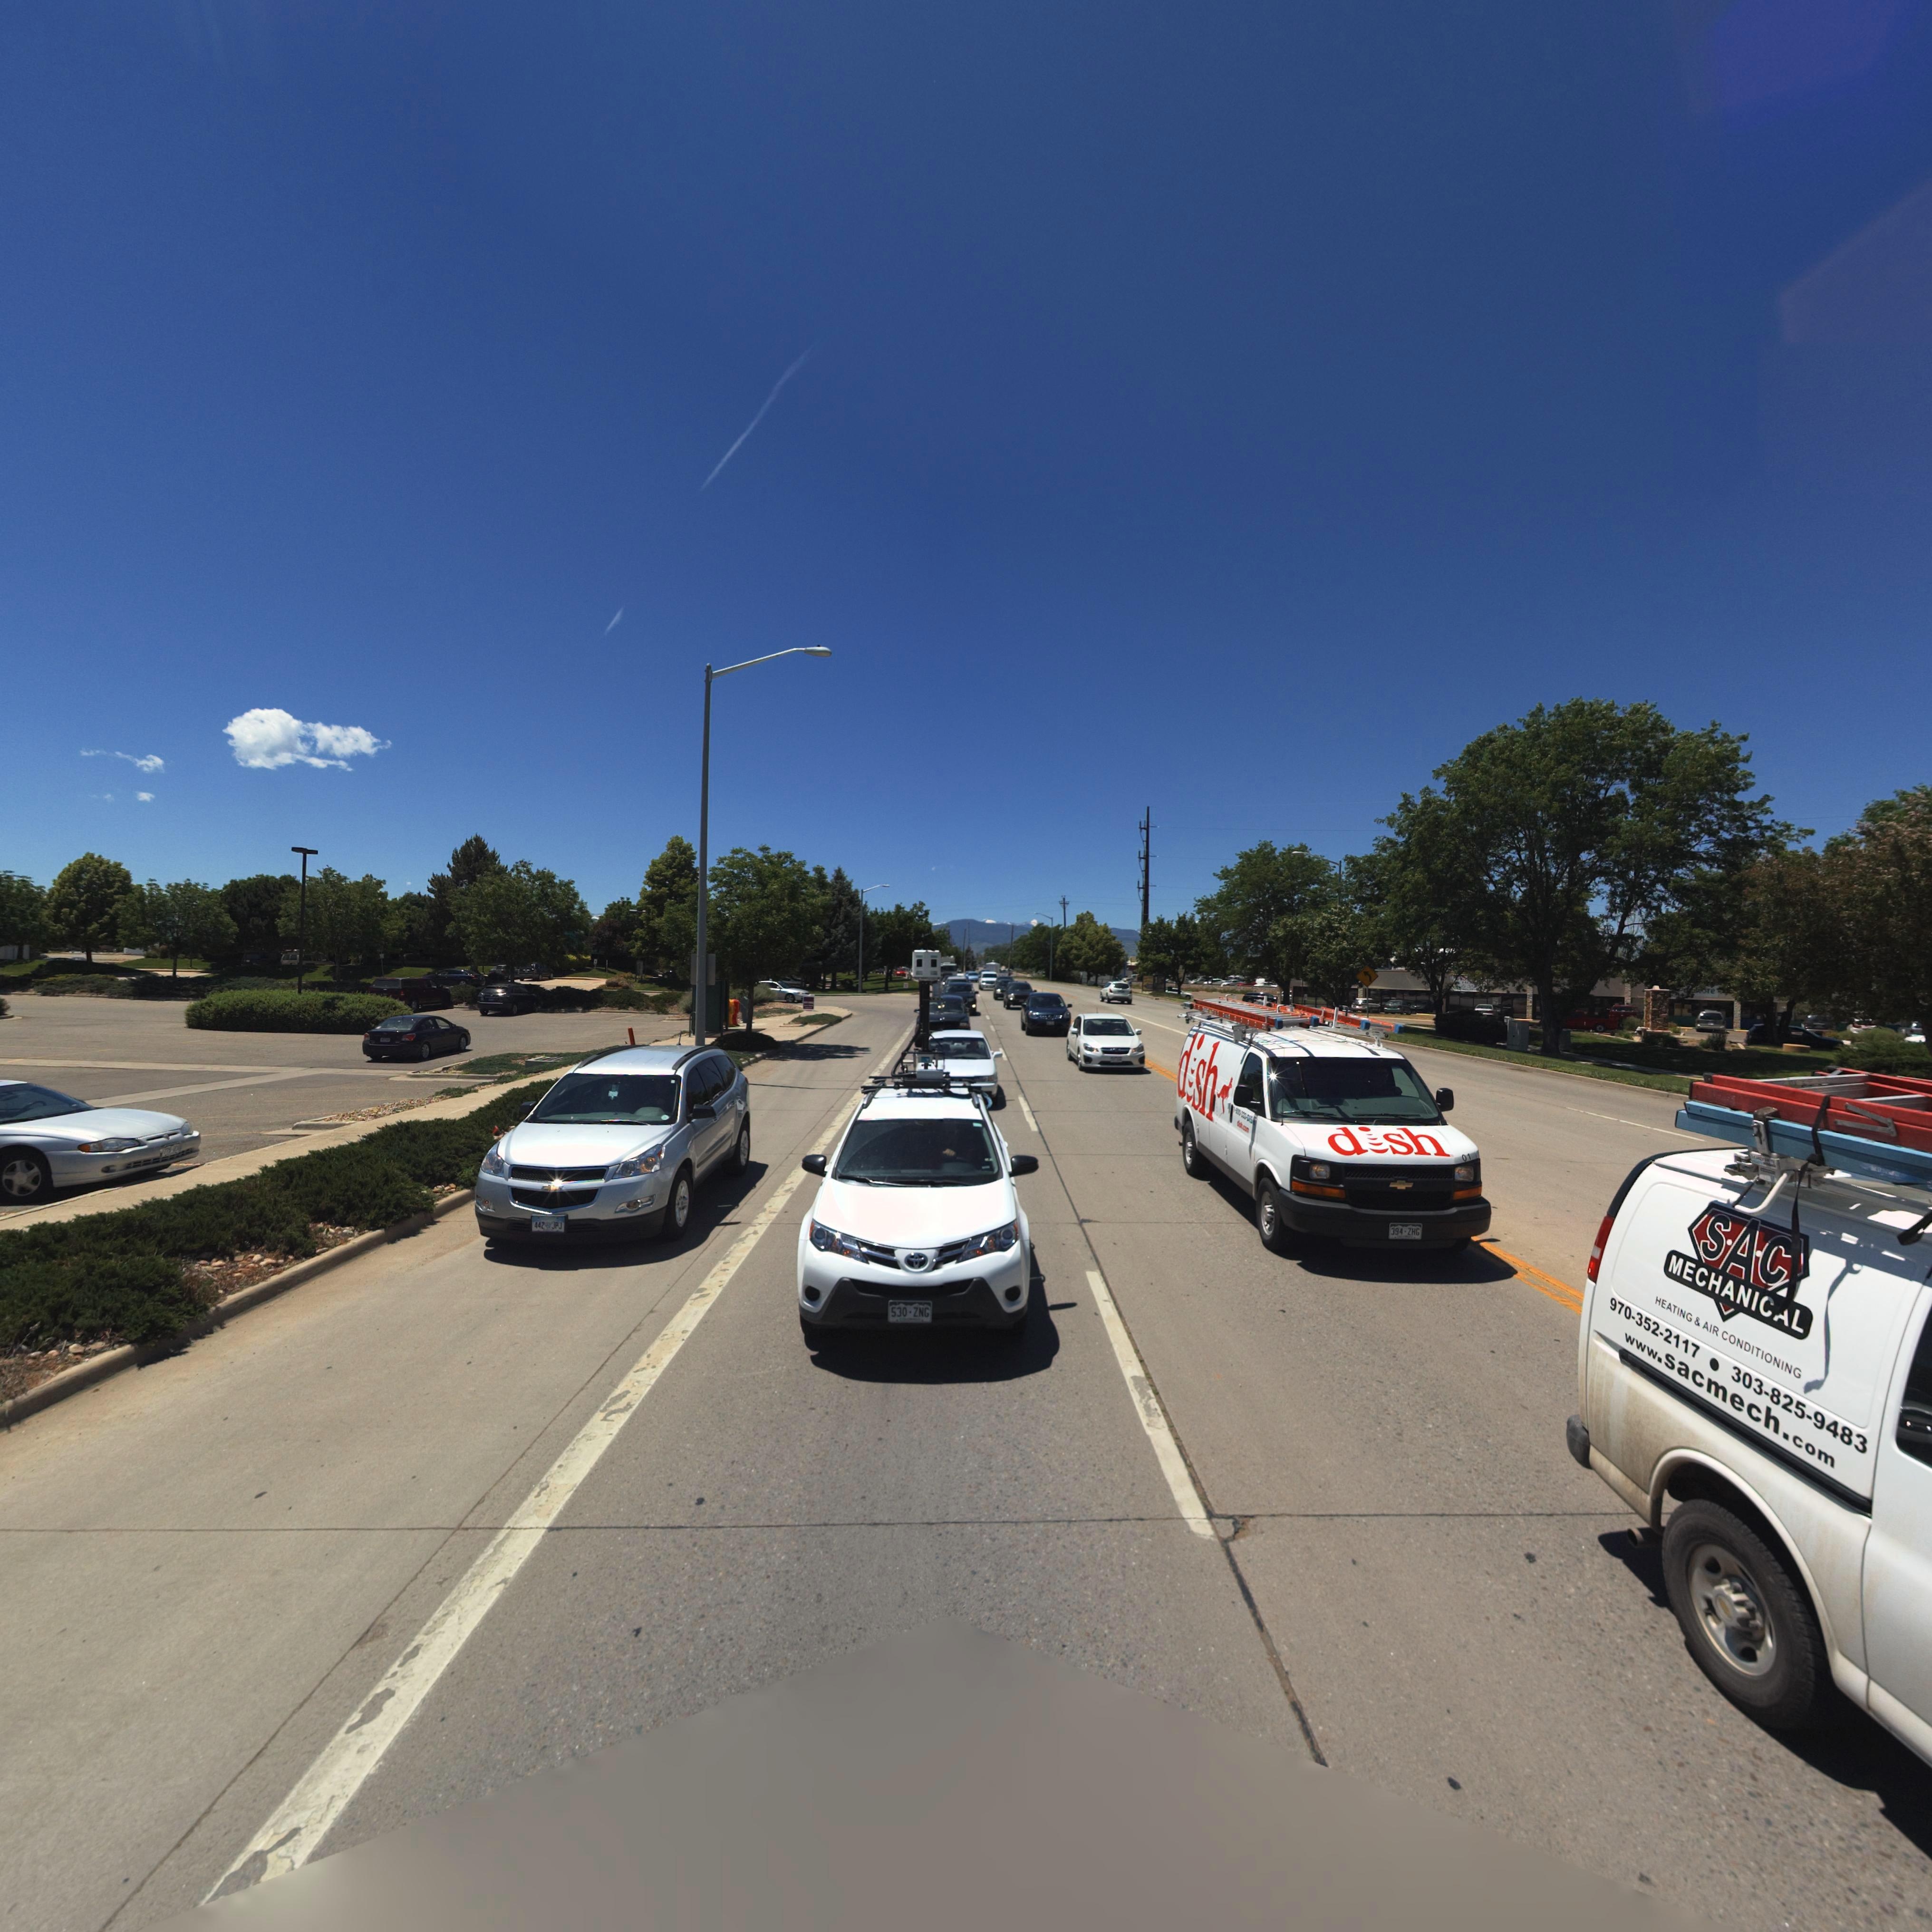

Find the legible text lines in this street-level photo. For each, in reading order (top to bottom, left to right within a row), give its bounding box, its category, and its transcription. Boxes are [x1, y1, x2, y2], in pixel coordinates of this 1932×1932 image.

[1700, 987, 1716, 994] BusinessName: *ore